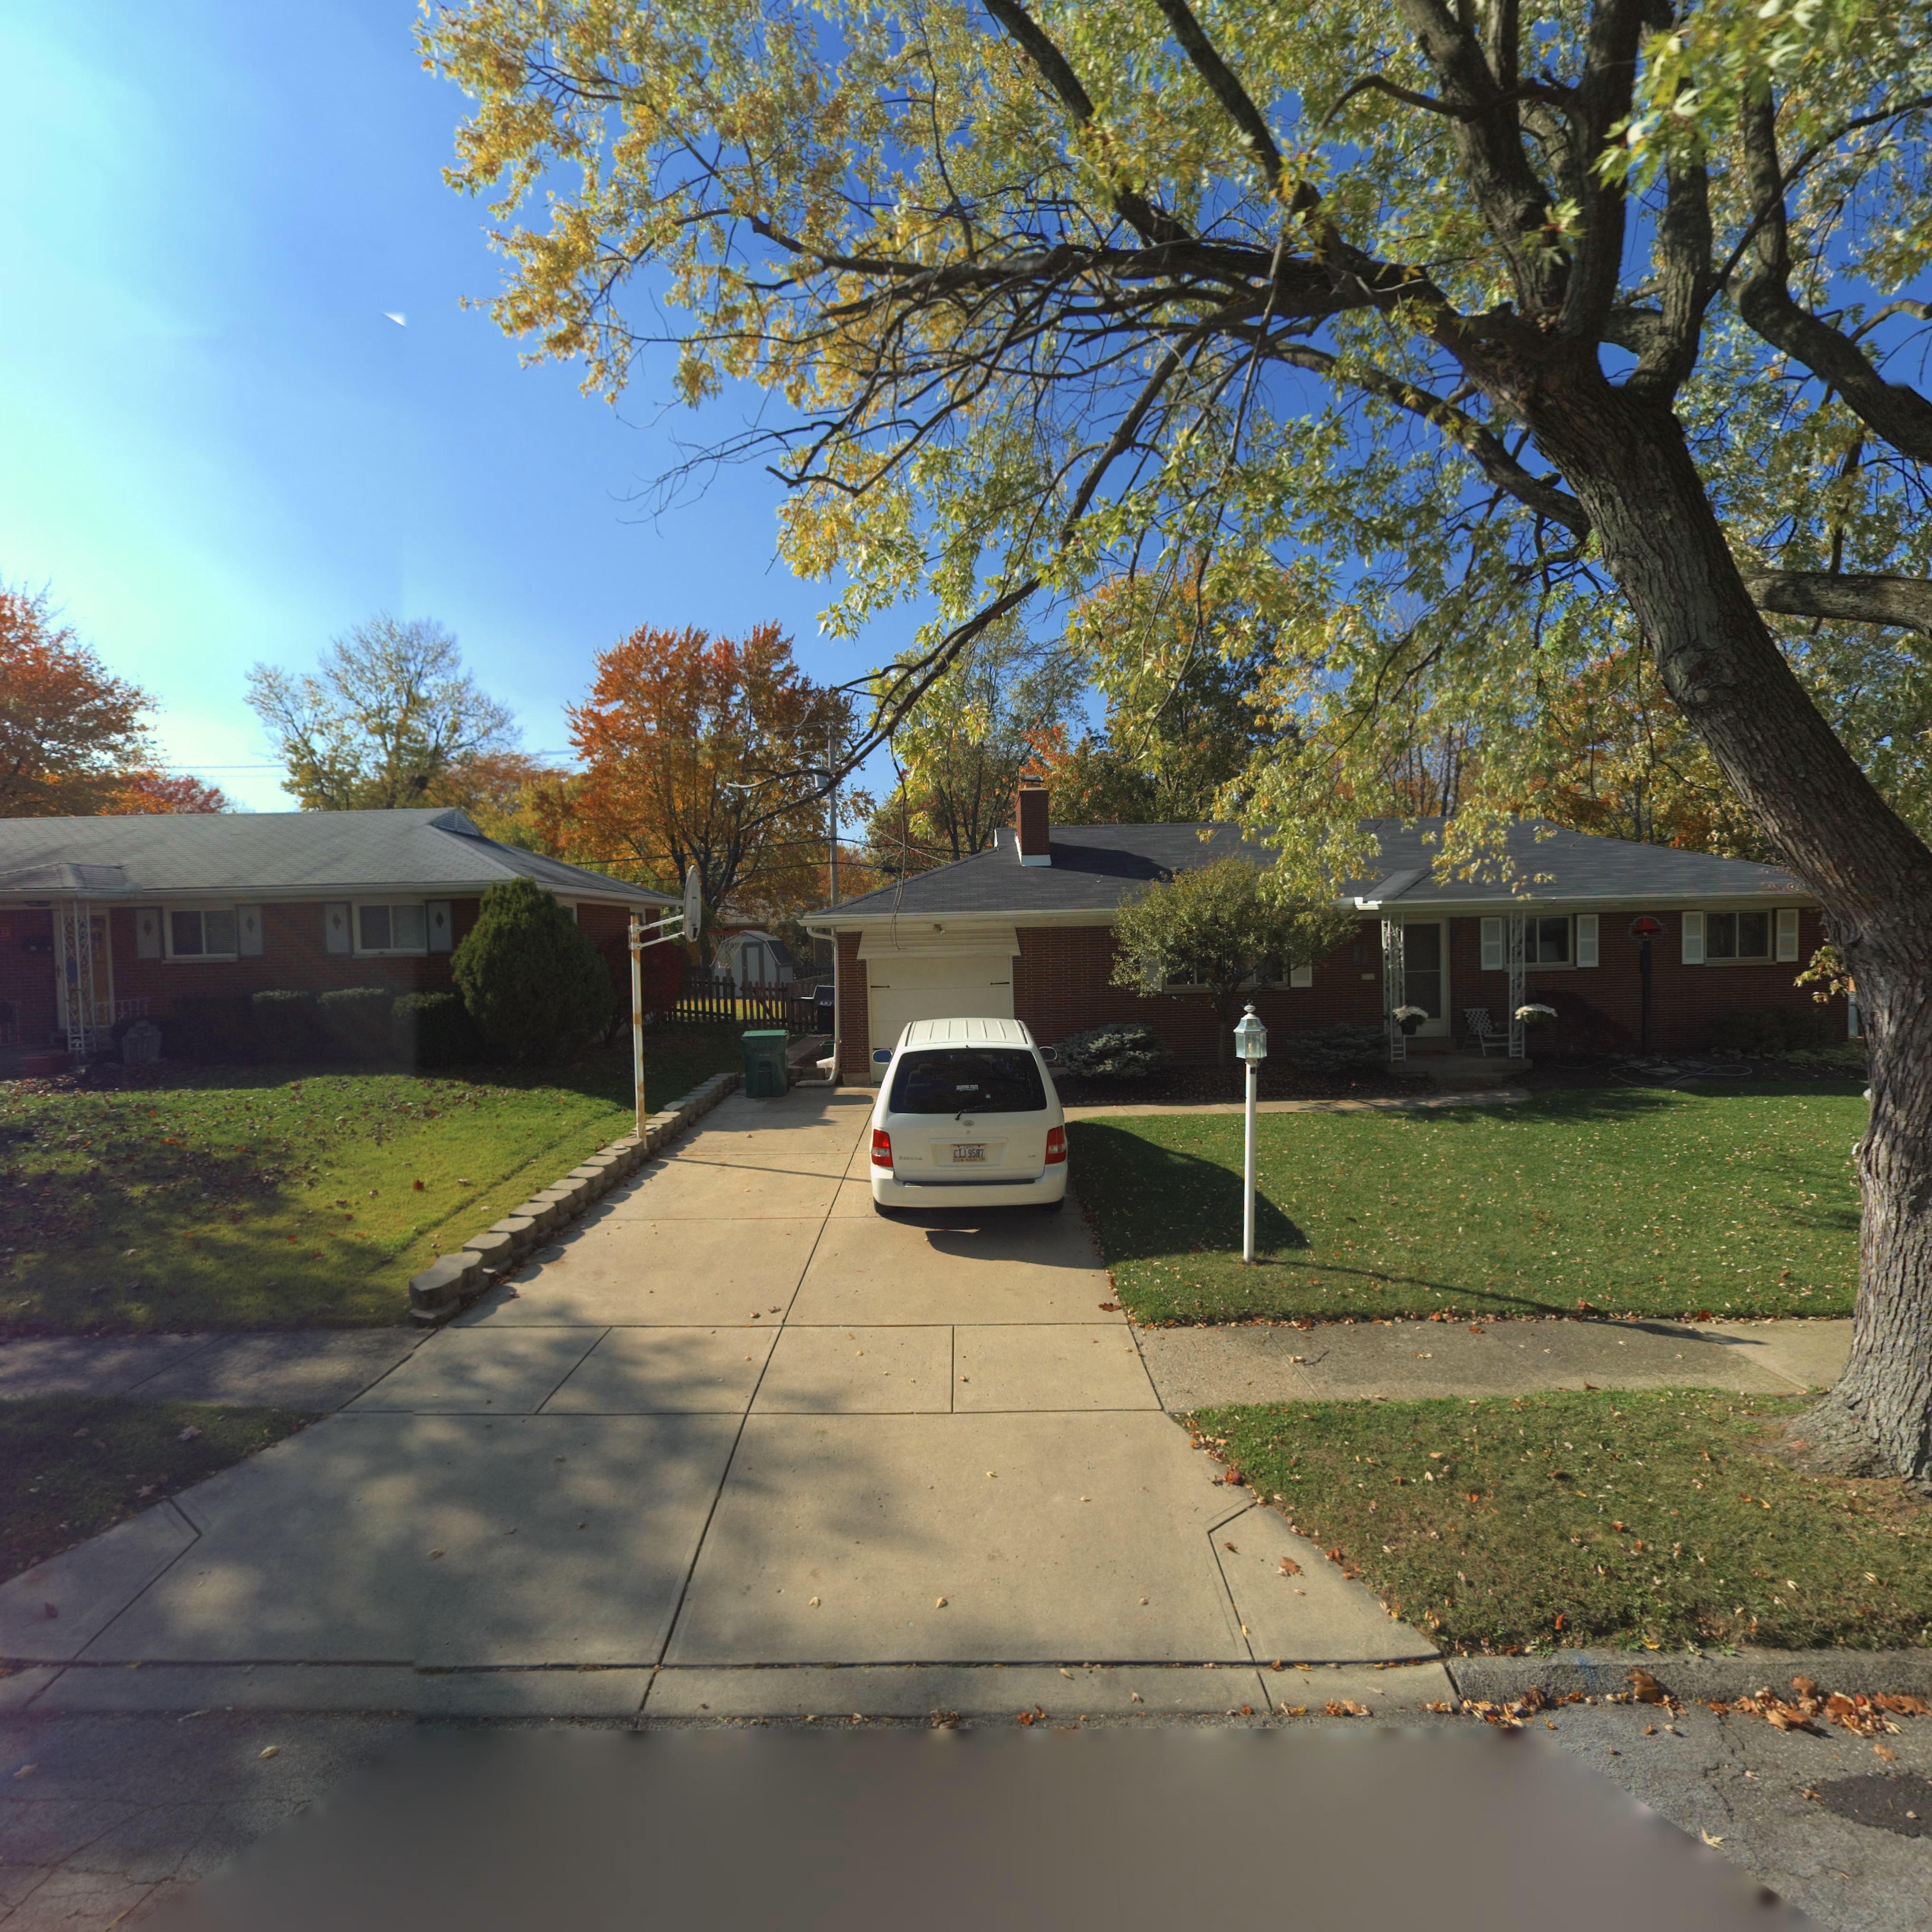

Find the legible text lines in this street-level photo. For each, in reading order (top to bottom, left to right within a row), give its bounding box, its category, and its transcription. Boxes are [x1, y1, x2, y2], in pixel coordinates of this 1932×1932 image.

[954, 1149, 984, 1158] None: CTJ 9587